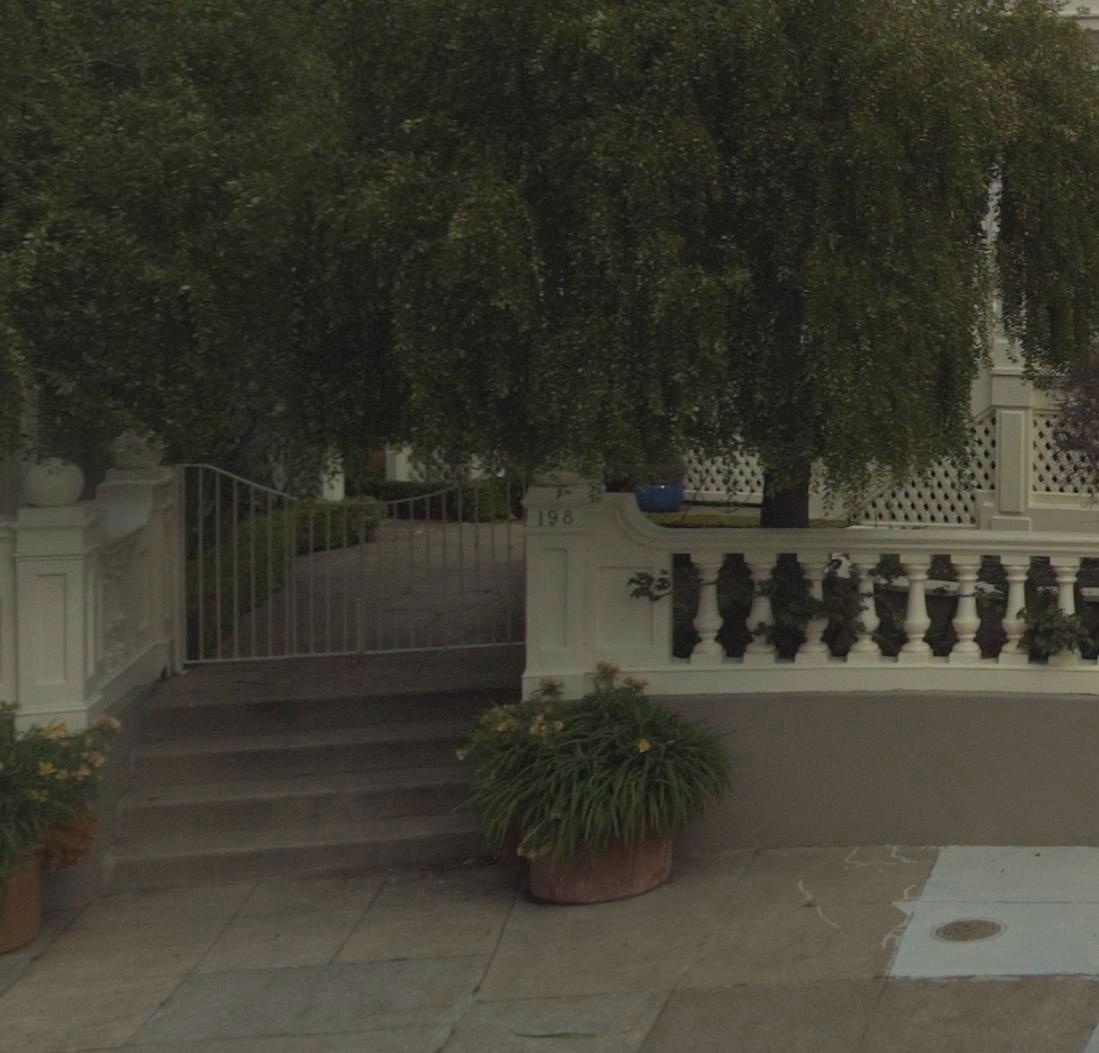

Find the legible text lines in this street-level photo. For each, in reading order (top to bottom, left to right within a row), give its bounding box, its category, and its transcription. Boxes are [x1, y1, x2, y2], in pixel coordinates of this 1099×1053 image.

[537, 508, 575, 527] StreetNumber: 198